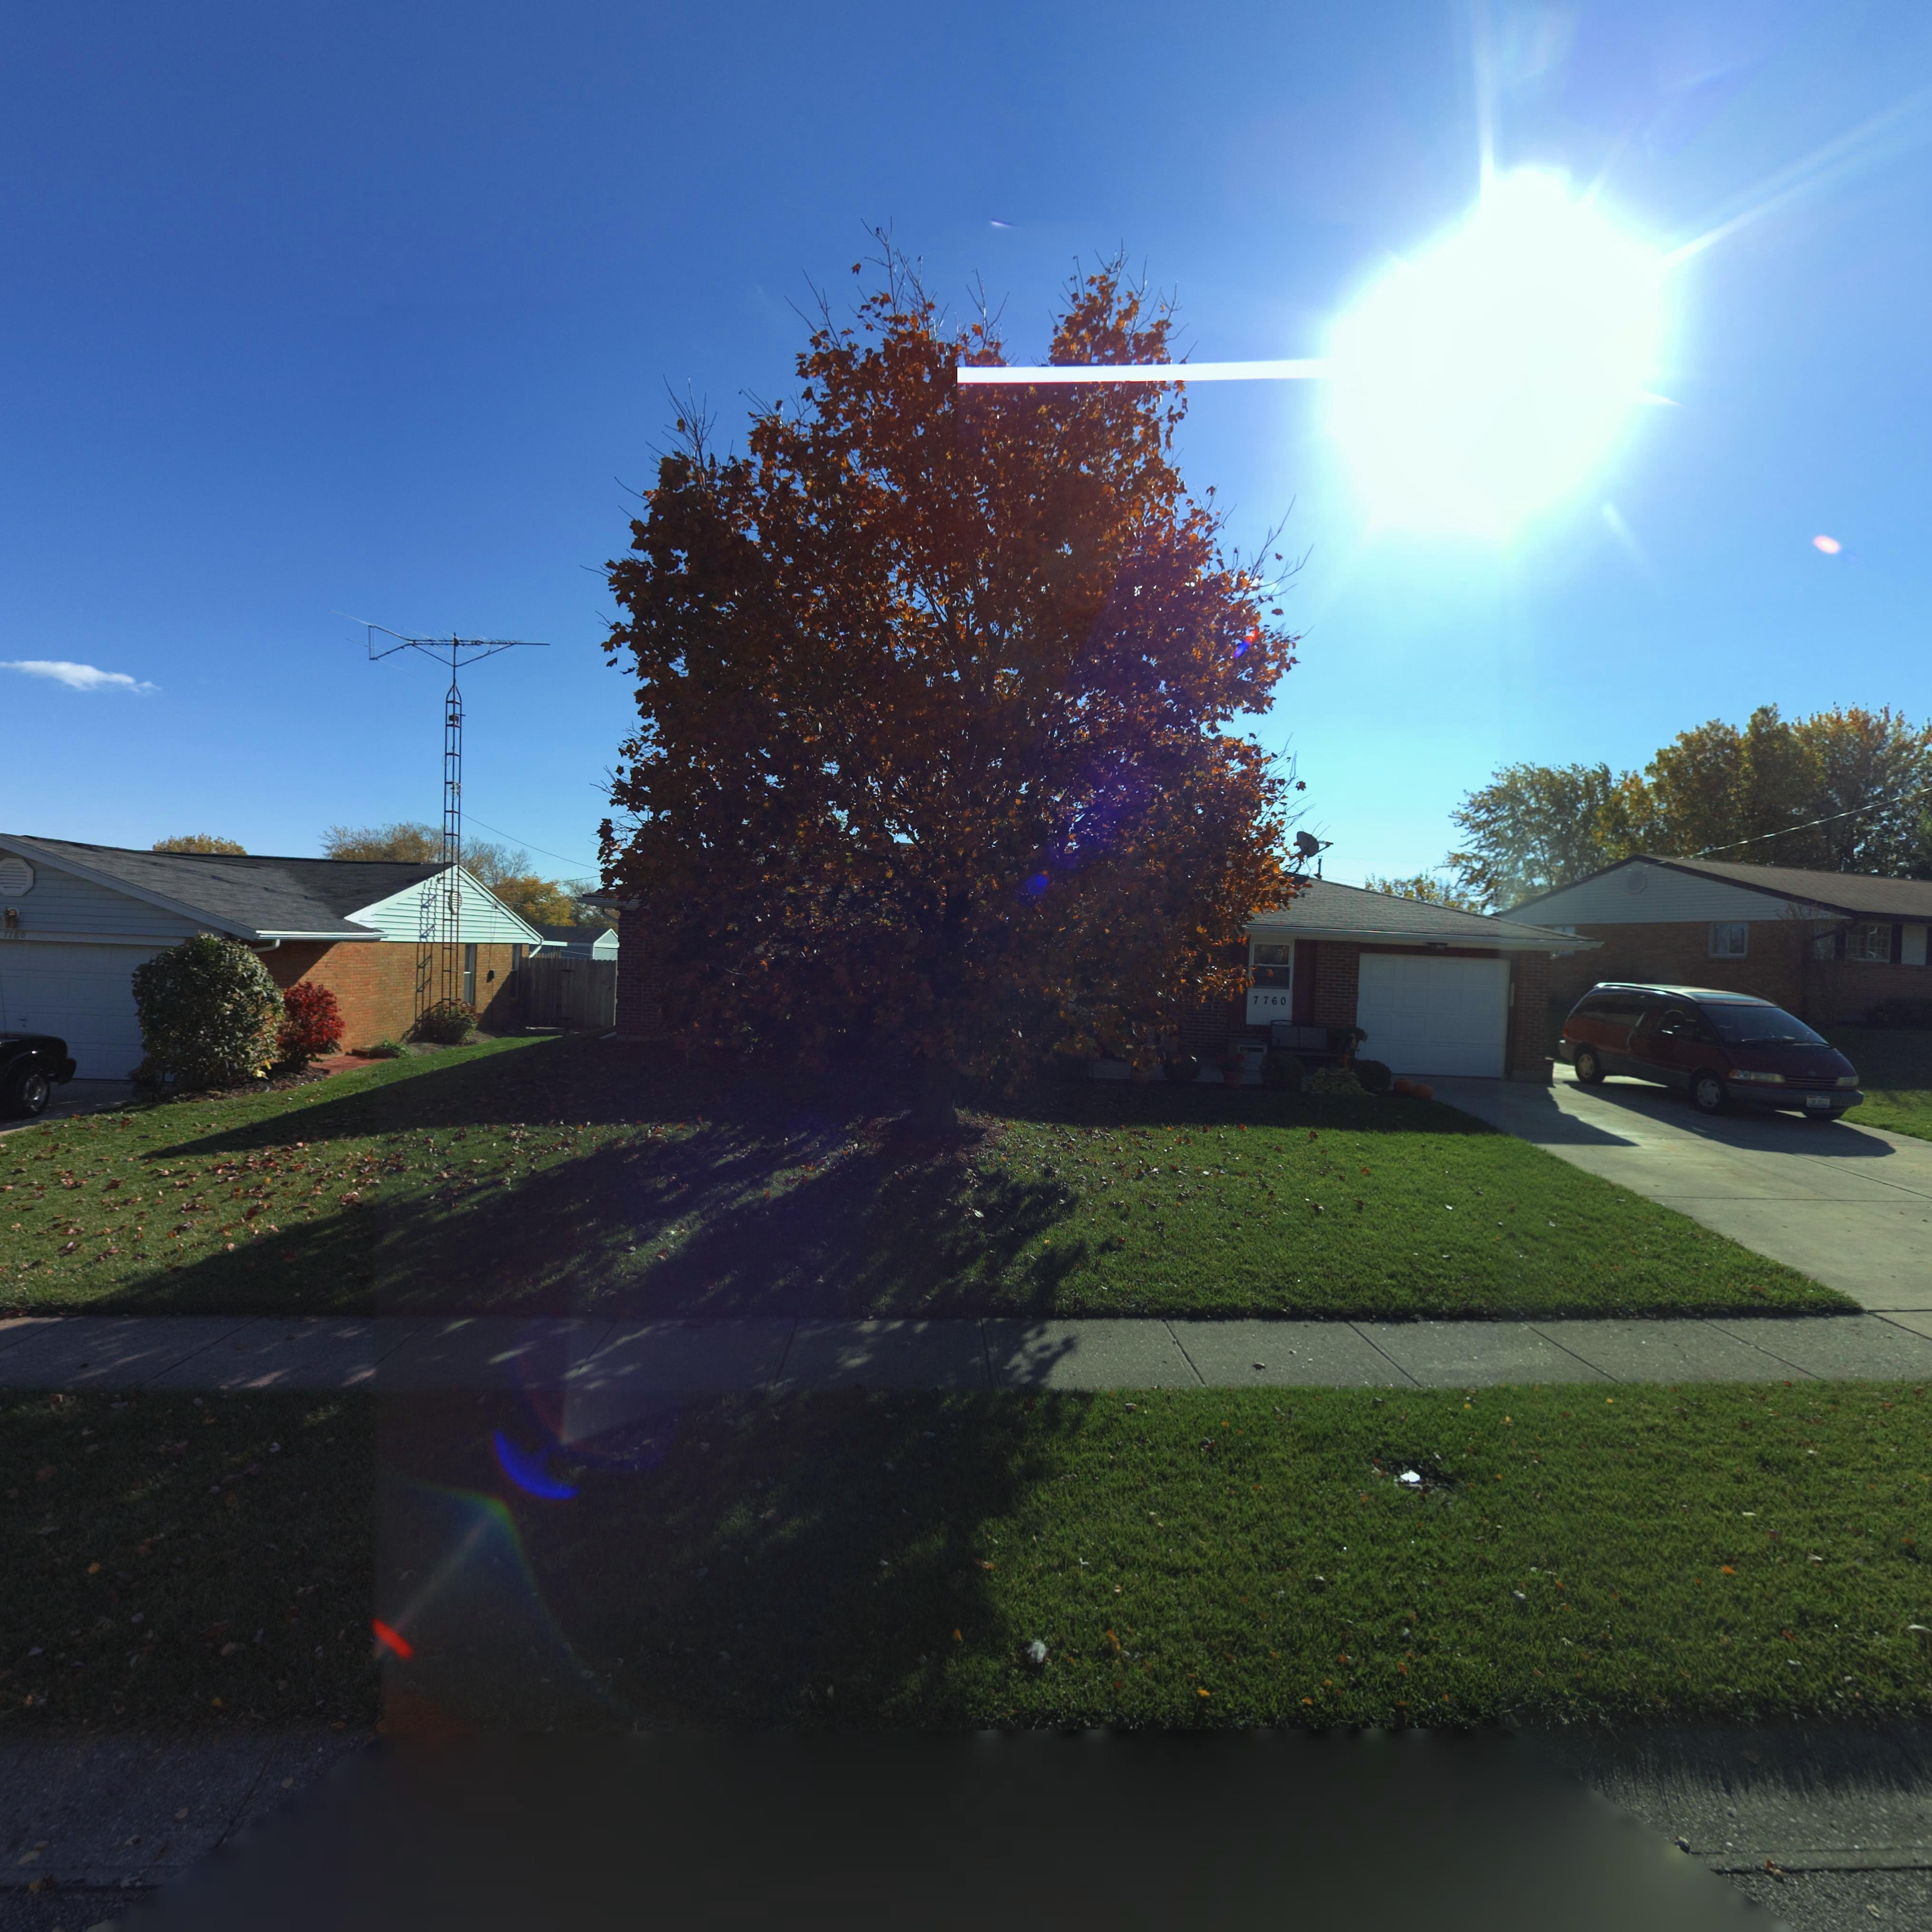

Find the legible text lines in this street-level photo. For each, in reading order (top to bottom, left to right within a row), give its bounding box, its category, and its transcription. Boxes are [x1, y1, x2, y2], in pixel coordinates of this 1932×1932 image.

[3, 930, 27, 940] StreetNumber: ***0
[1252, 995, 1287, 1006] StreetNumber: 7760